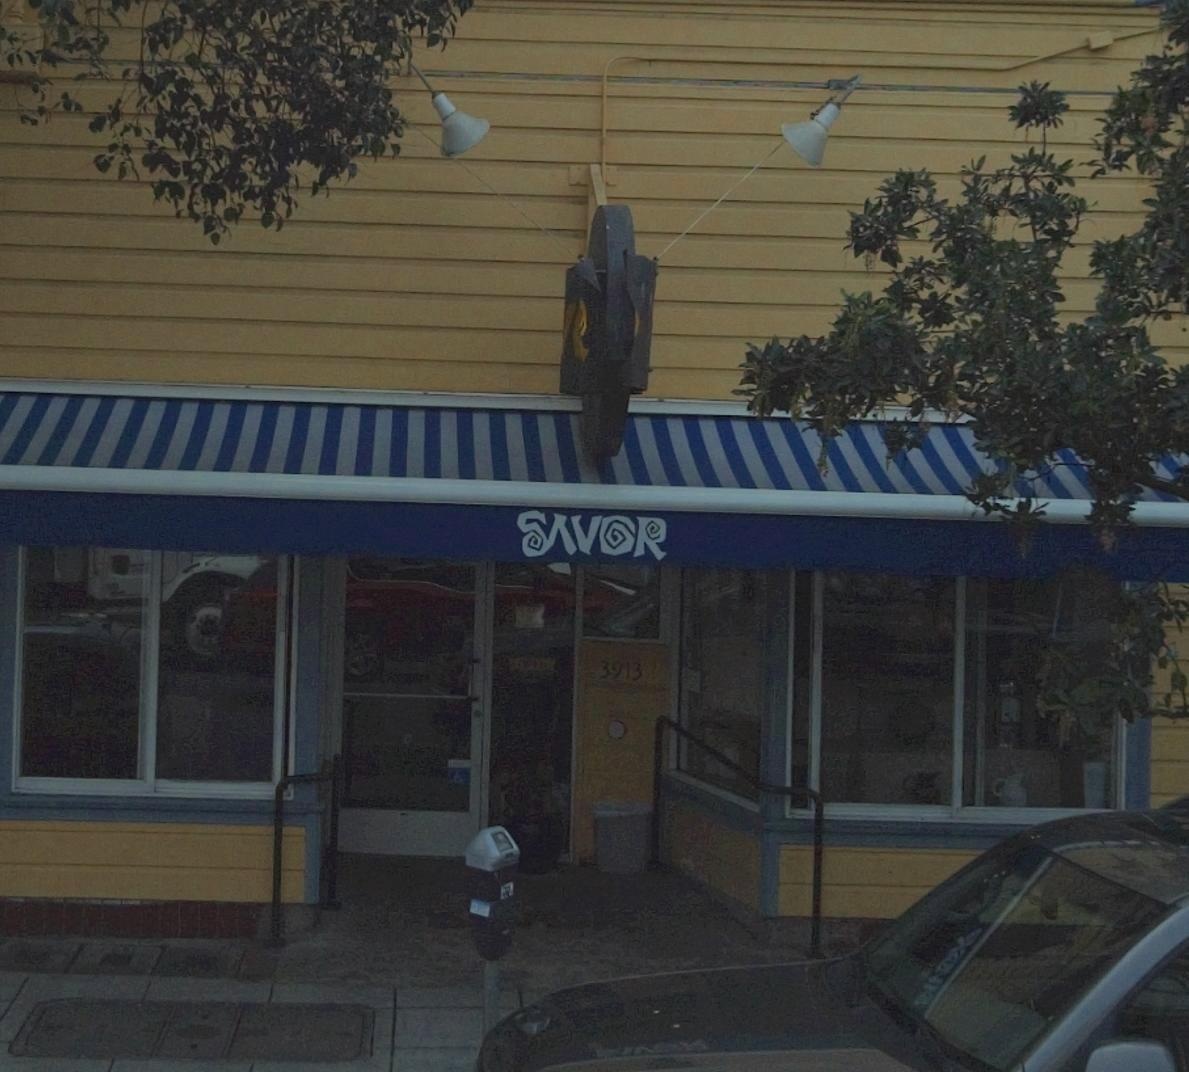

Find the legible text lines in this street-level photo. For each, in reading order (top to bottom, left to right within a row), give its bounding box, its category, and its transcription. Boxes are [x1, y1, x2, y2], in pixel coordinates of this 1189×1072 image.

[516, 507, 668, 562] BusinessName: SAVOR
[598, 659, 644, 683] StreetNumber: 3913